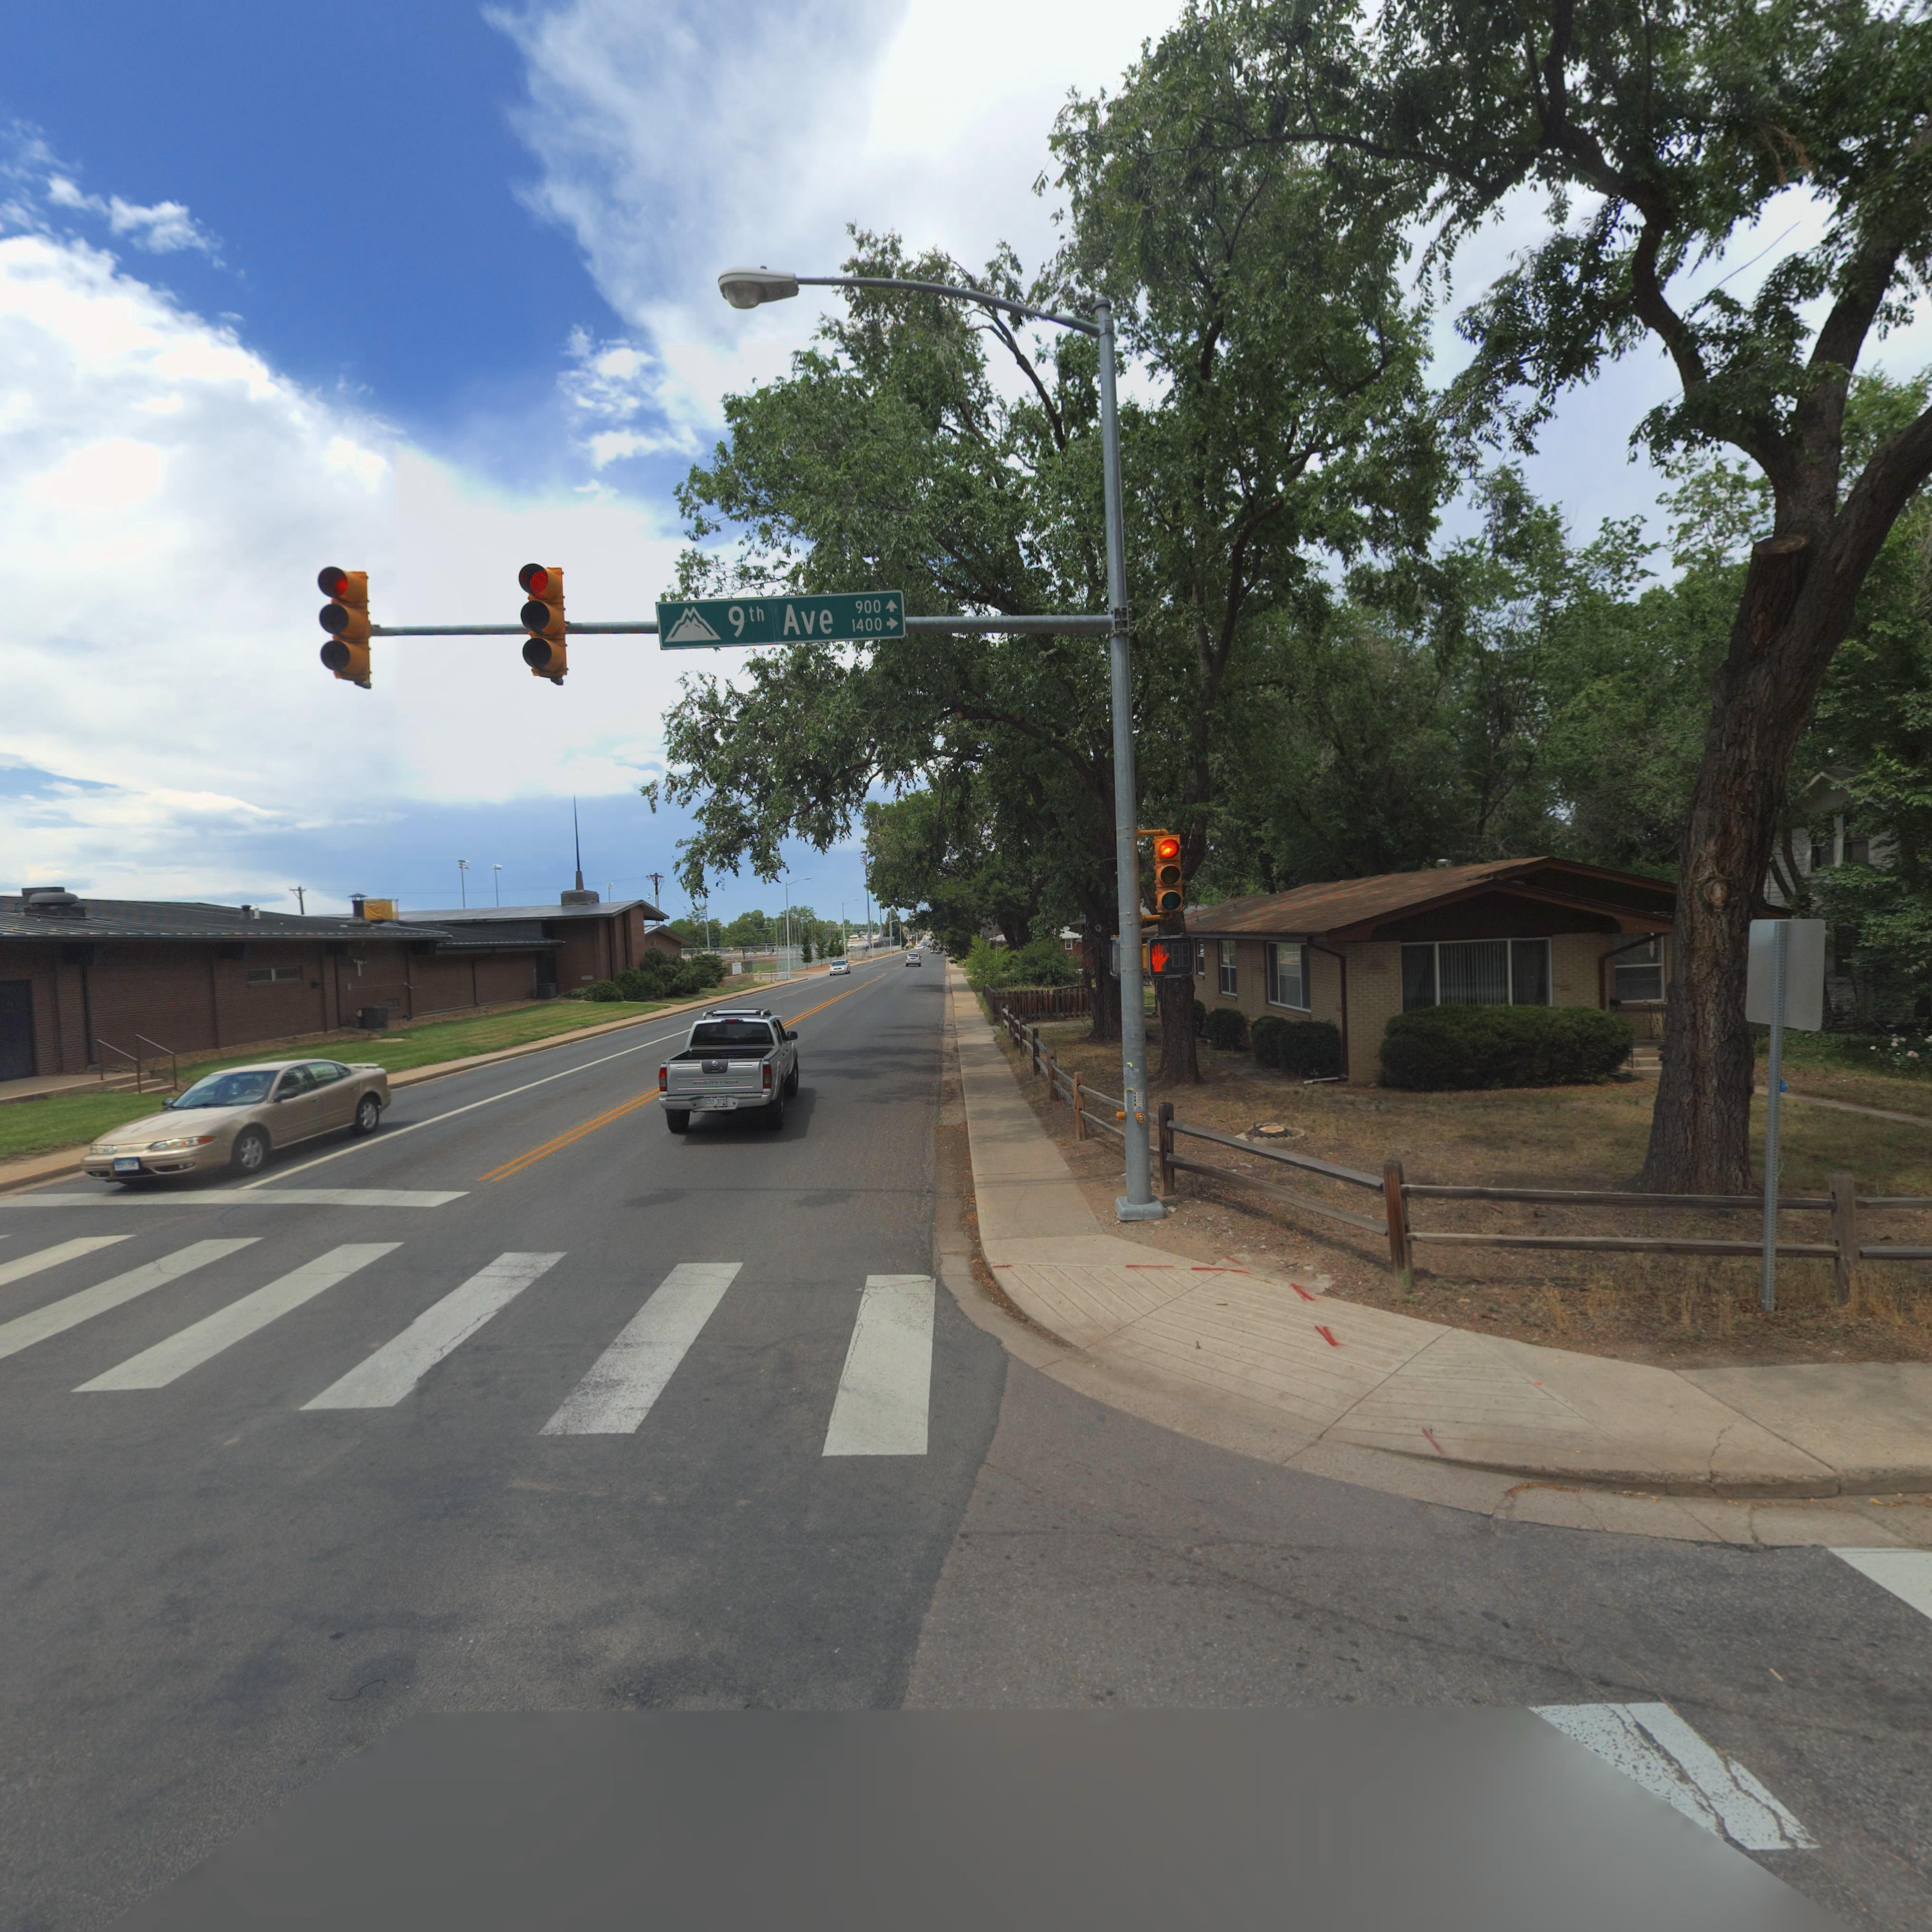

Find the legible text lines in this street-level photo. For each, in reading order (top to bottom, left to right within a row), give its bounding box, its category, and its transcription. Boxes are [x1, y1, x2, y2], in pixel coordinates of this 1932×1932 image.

[855, 599, 881, 614] StreetNumberRange: 900
[726, 602, 833, 638] StreetName: 9th Ave
[851, 616, 898, 632] StreetNumberRange: 1400 ->